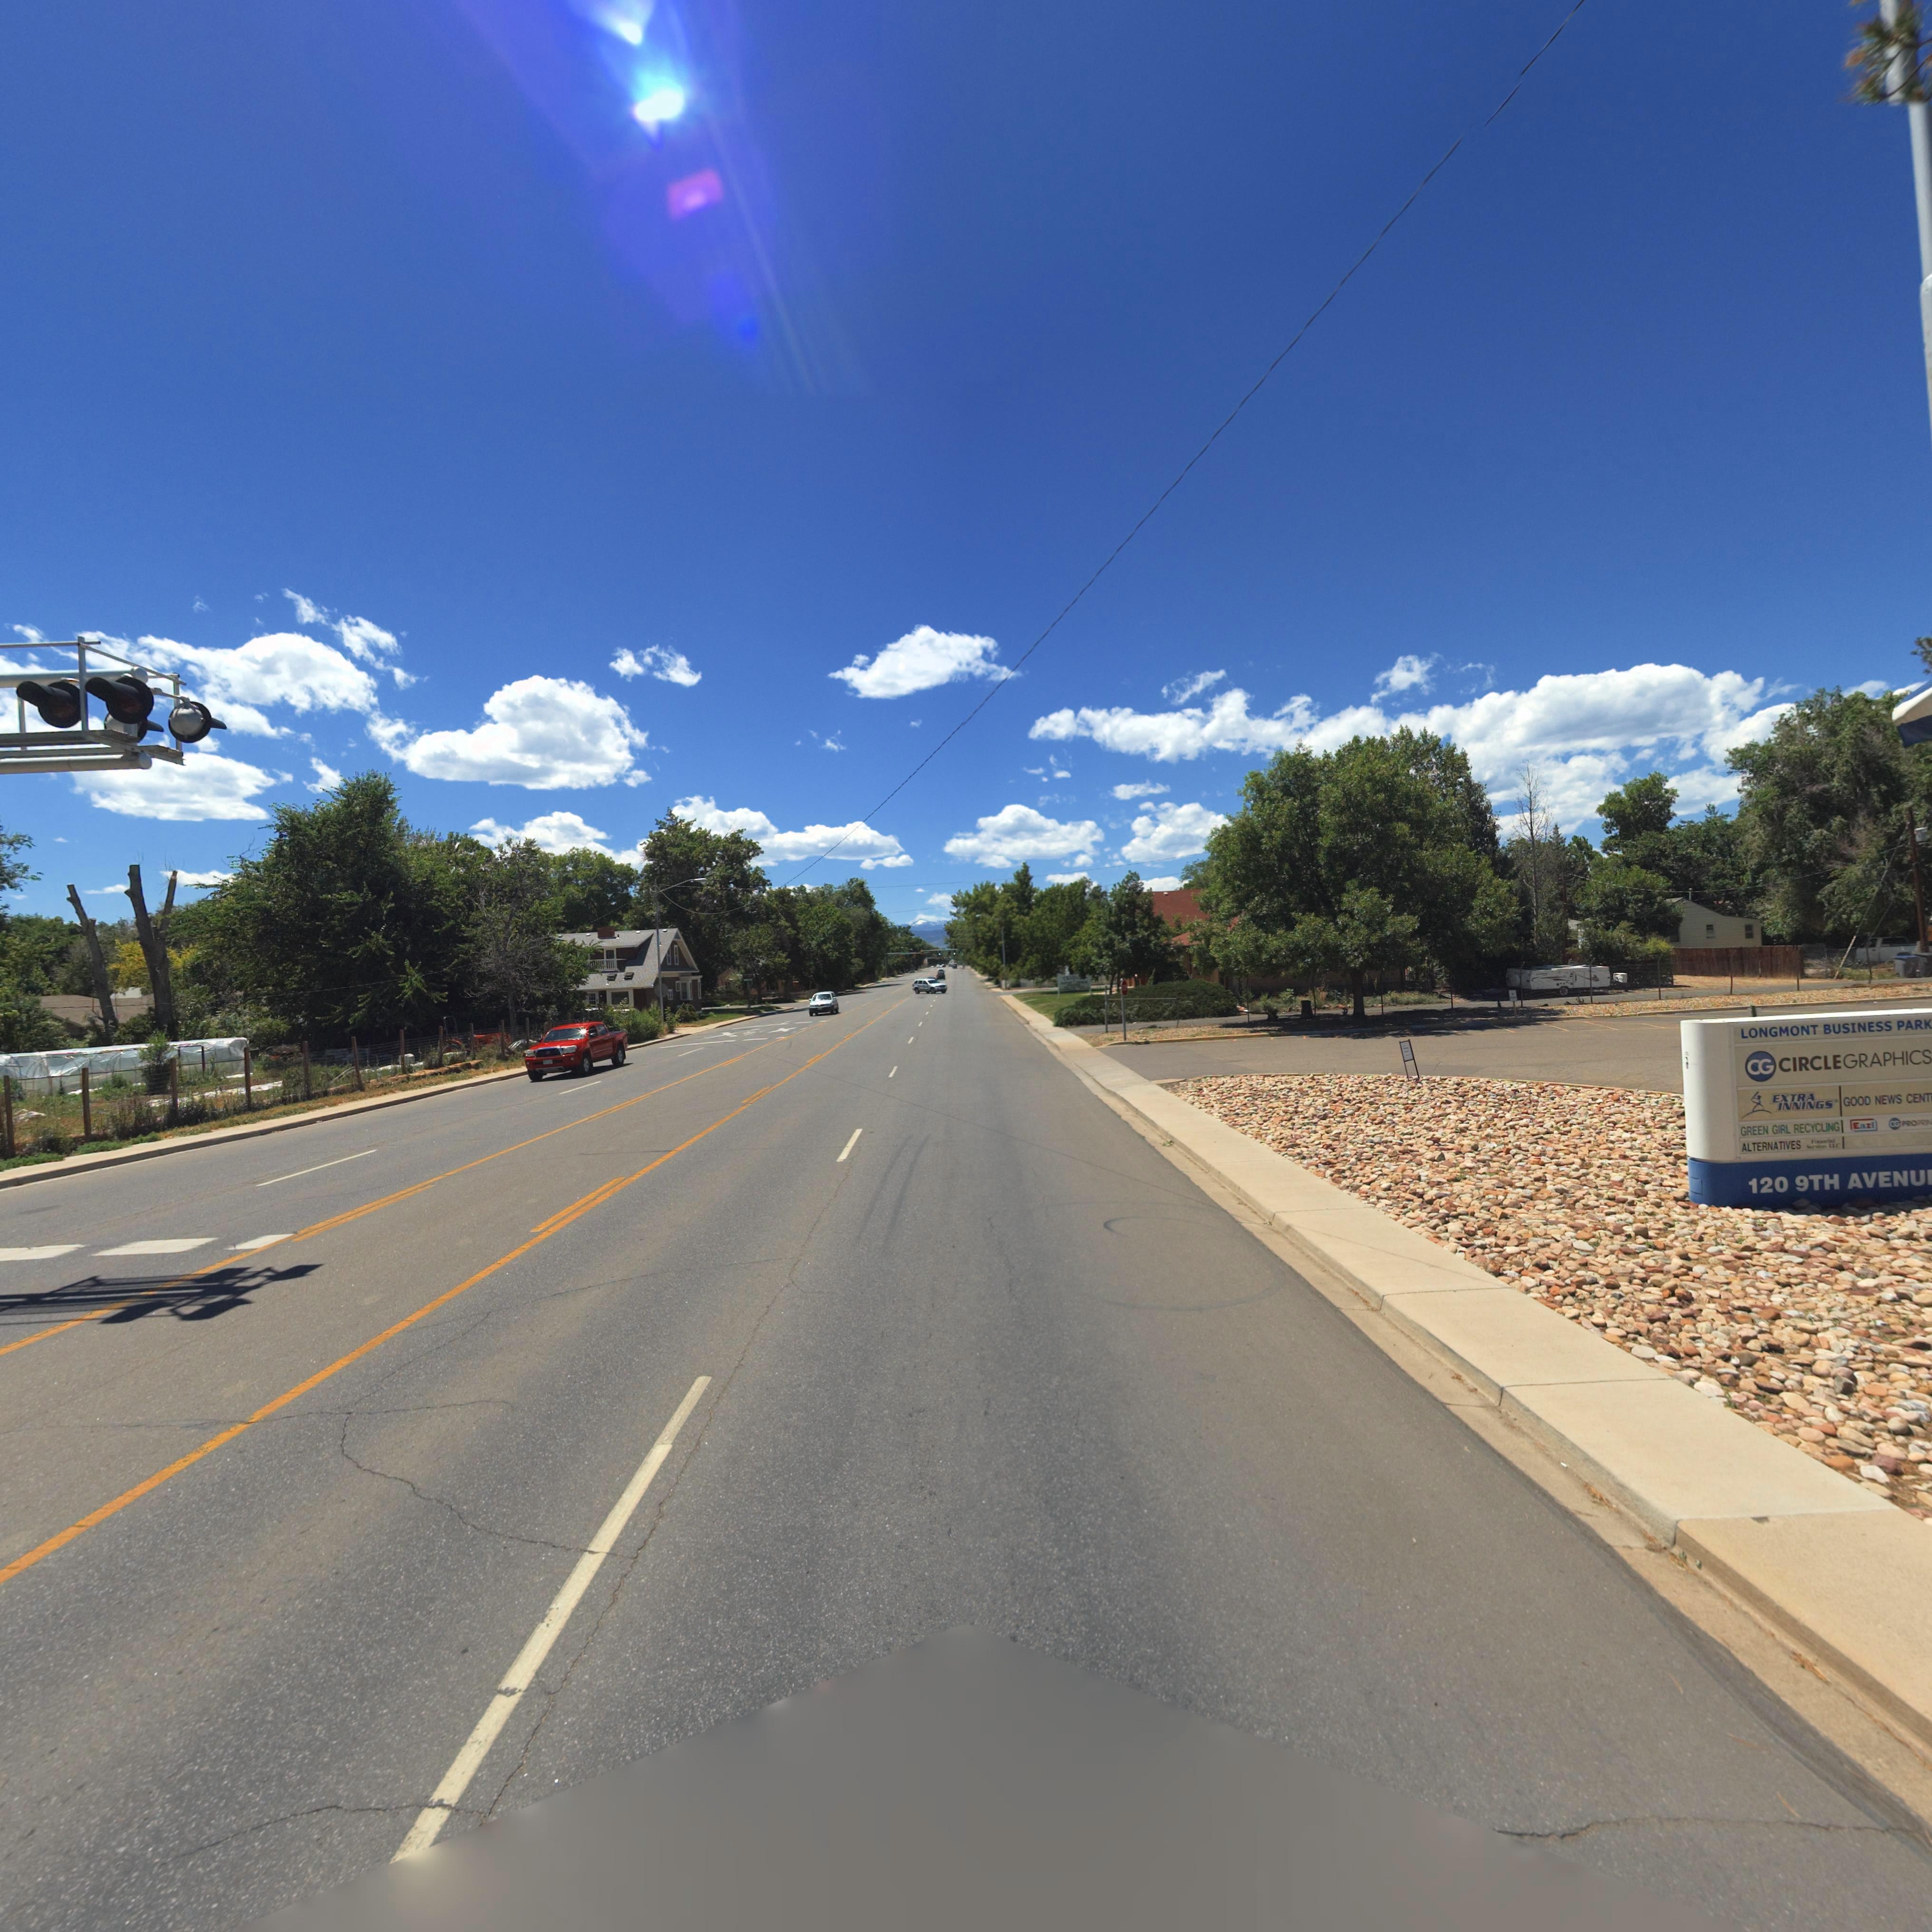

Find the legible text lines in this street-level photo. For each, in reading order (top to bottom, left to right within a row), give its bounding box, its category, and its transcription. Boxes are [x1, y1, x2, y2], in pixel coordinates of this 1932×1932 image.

[1778, 1050, 1922, 1072] BusinessName: CIRCEGRAPHIC
[1773, 1093, 1814, 1102] BusinessName: EXTRA
[1777, 1100, 1833, 1111] BusinessName: INNINGS
[1739, 1121, 1840, 1136] BusinessName: GREEN GIRL RECYCLING
[1741, 1140, 1801, 1152] BusinessName: ALTERNATIVES
[1748, 1176, 1788, 1193] StreetNumber: 120
[1795, 1169, 1926, 1192] StreetName: 9TH AVENU